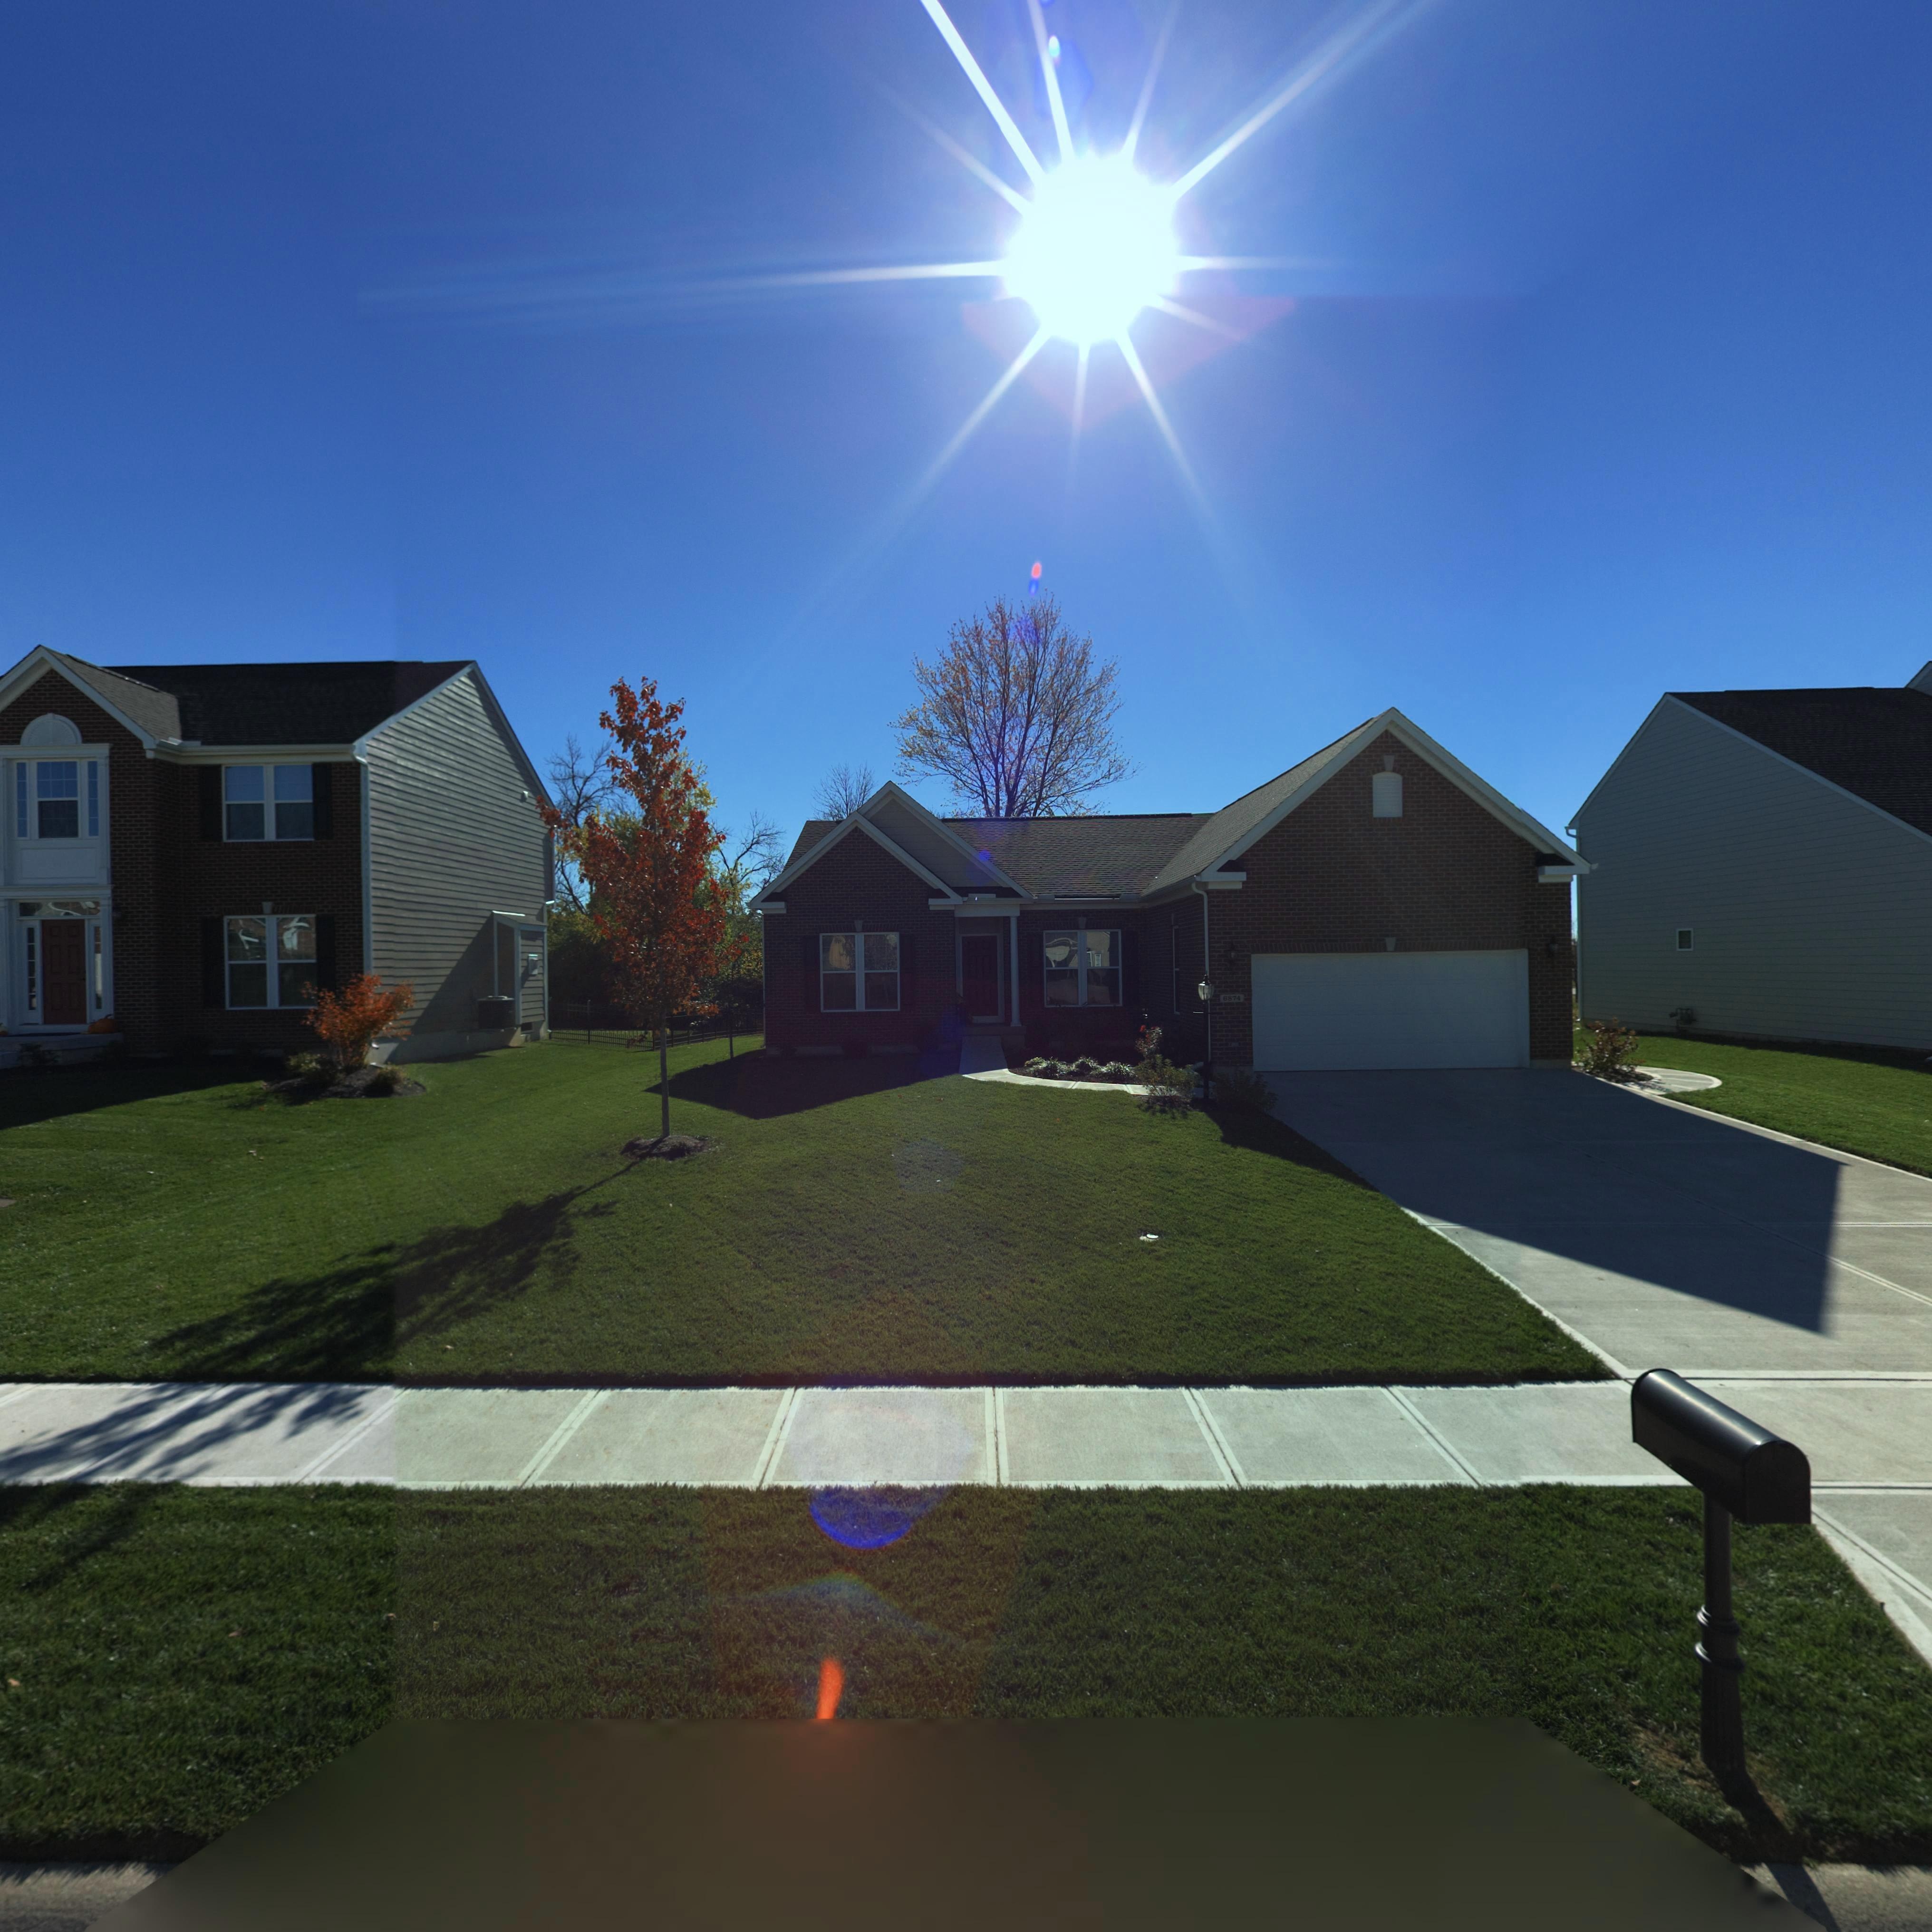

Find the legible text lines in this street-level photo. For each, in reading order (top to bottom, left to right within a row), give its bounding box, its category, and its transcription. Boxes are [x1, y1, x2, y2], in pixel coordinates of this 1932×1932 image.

[1222, 995, 1241, 1002] StreetNumber: 6874